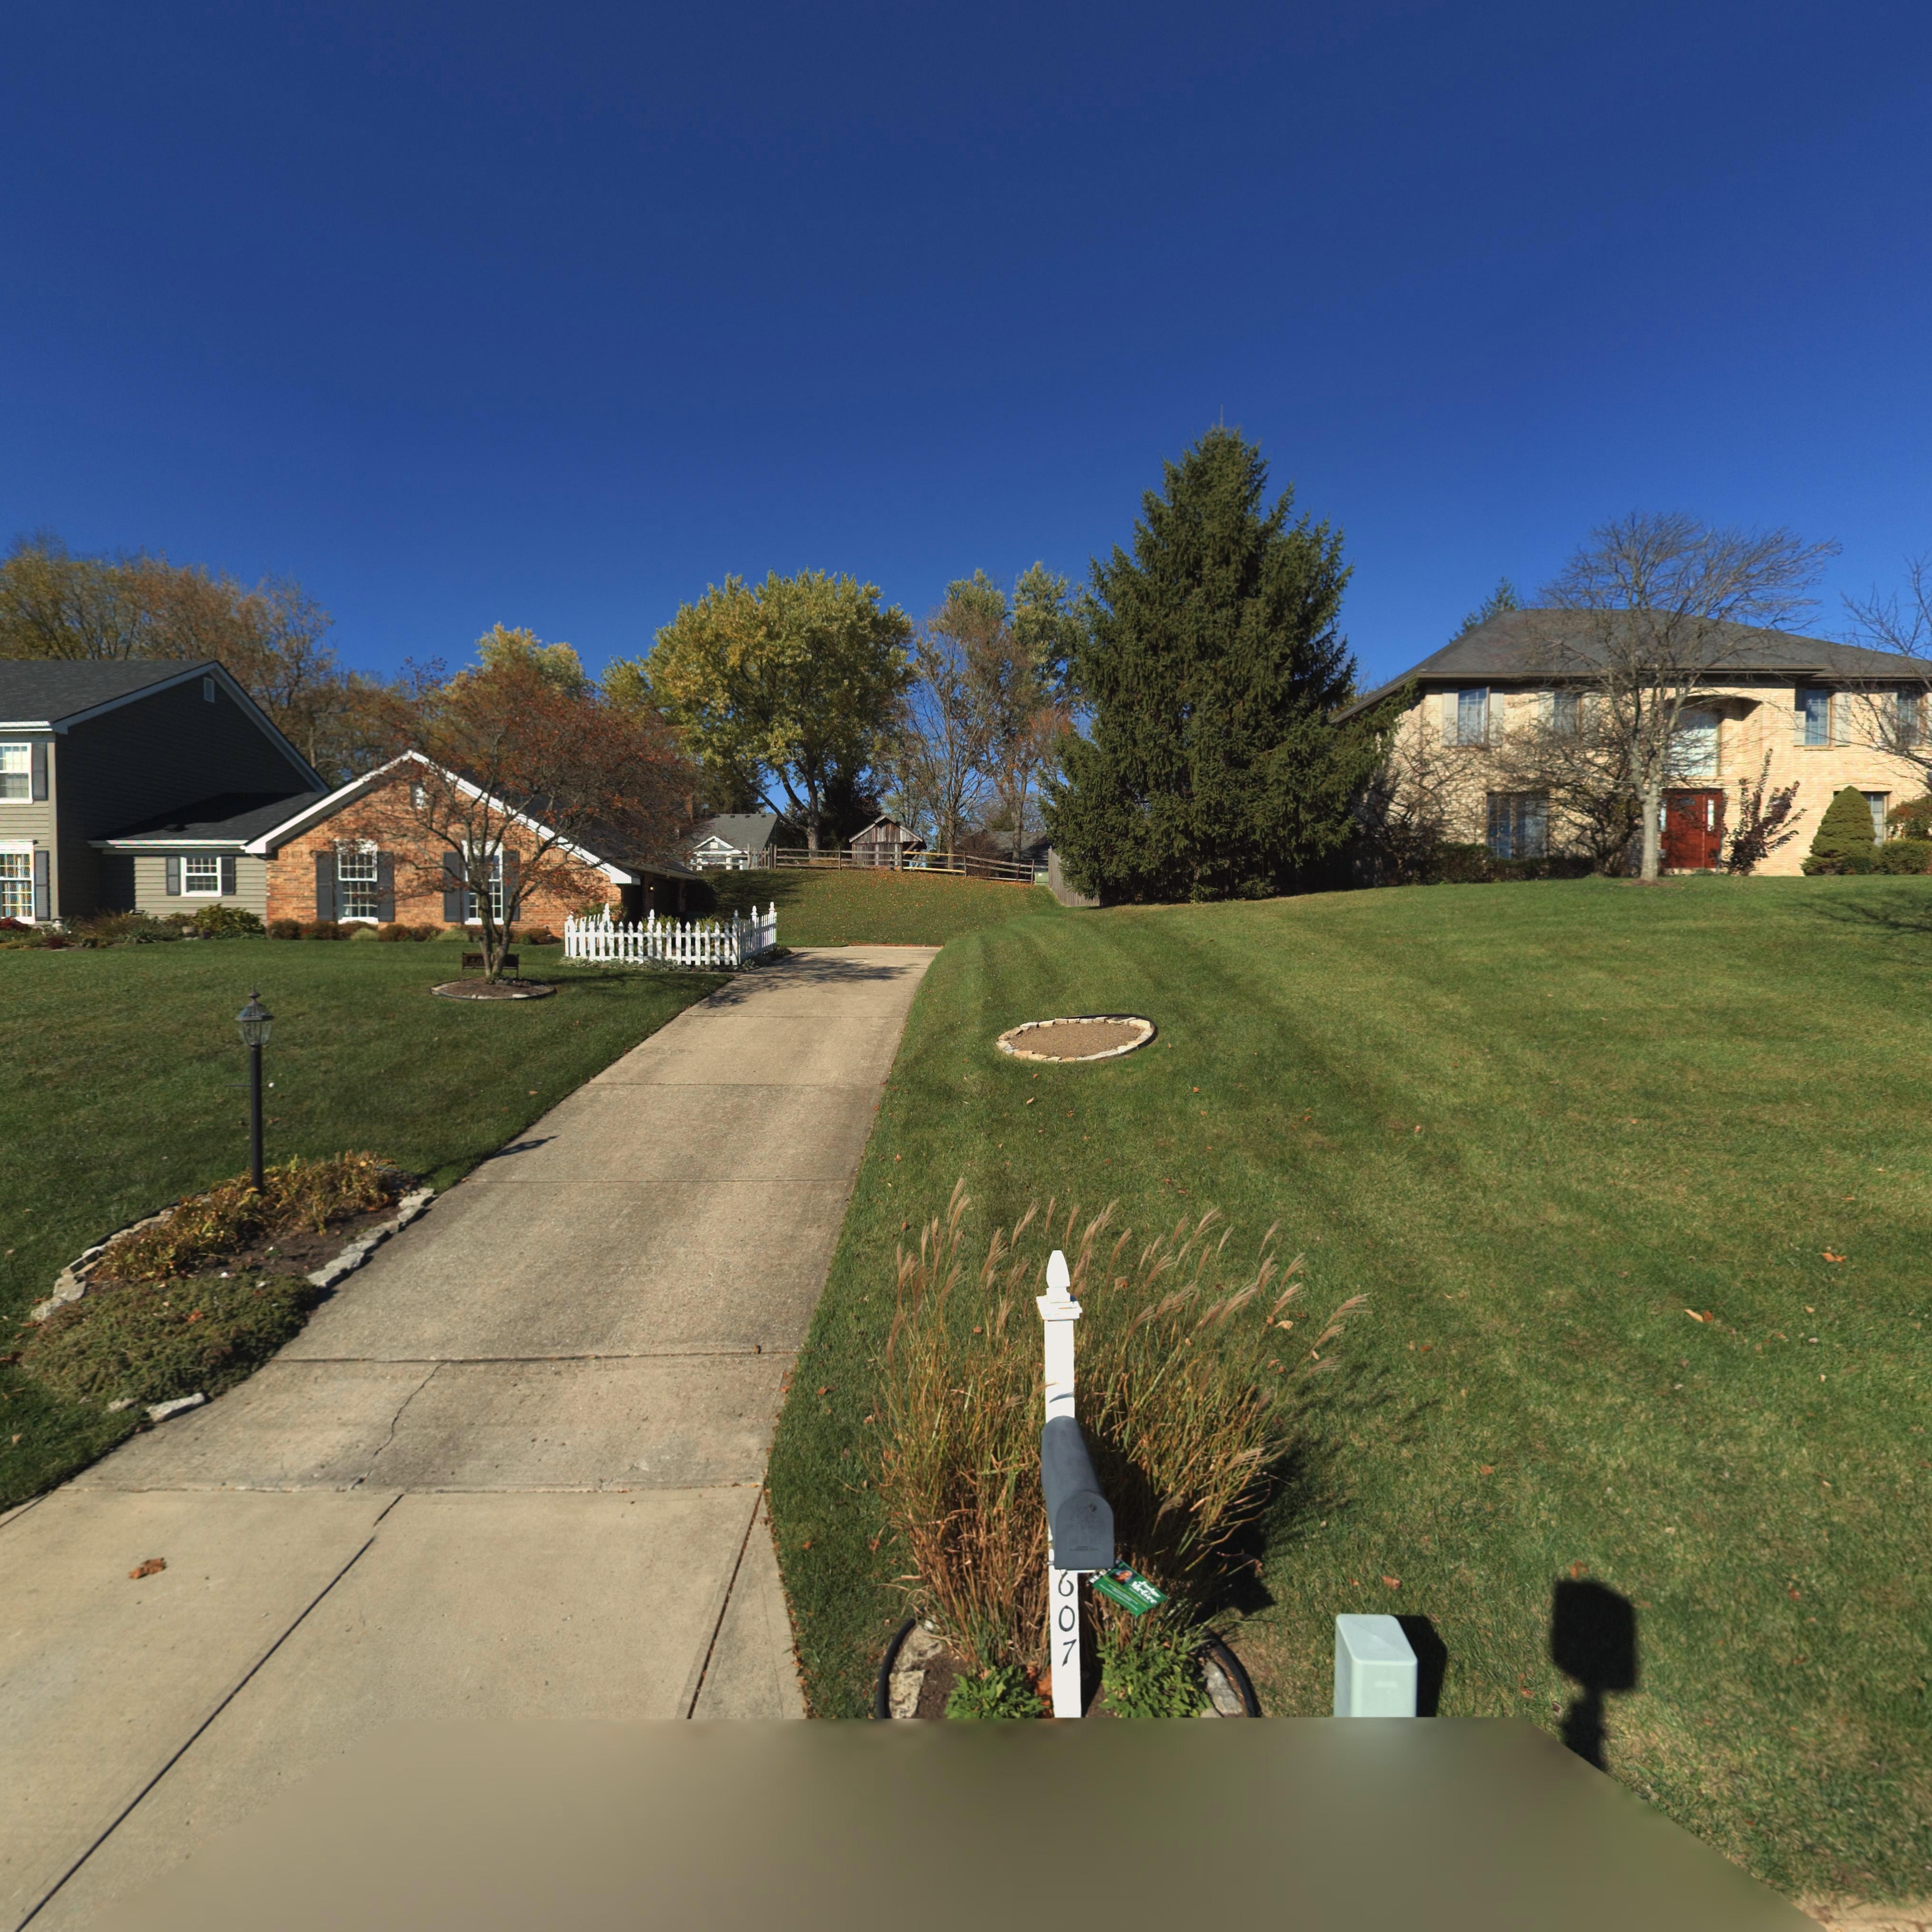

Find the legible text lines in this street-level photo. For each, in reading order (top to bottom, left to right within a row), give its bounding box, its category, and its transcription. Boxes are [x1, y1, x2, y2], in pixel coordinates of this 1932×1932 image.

[1056, 1569, 1078, 1668] StreetNumber: 607